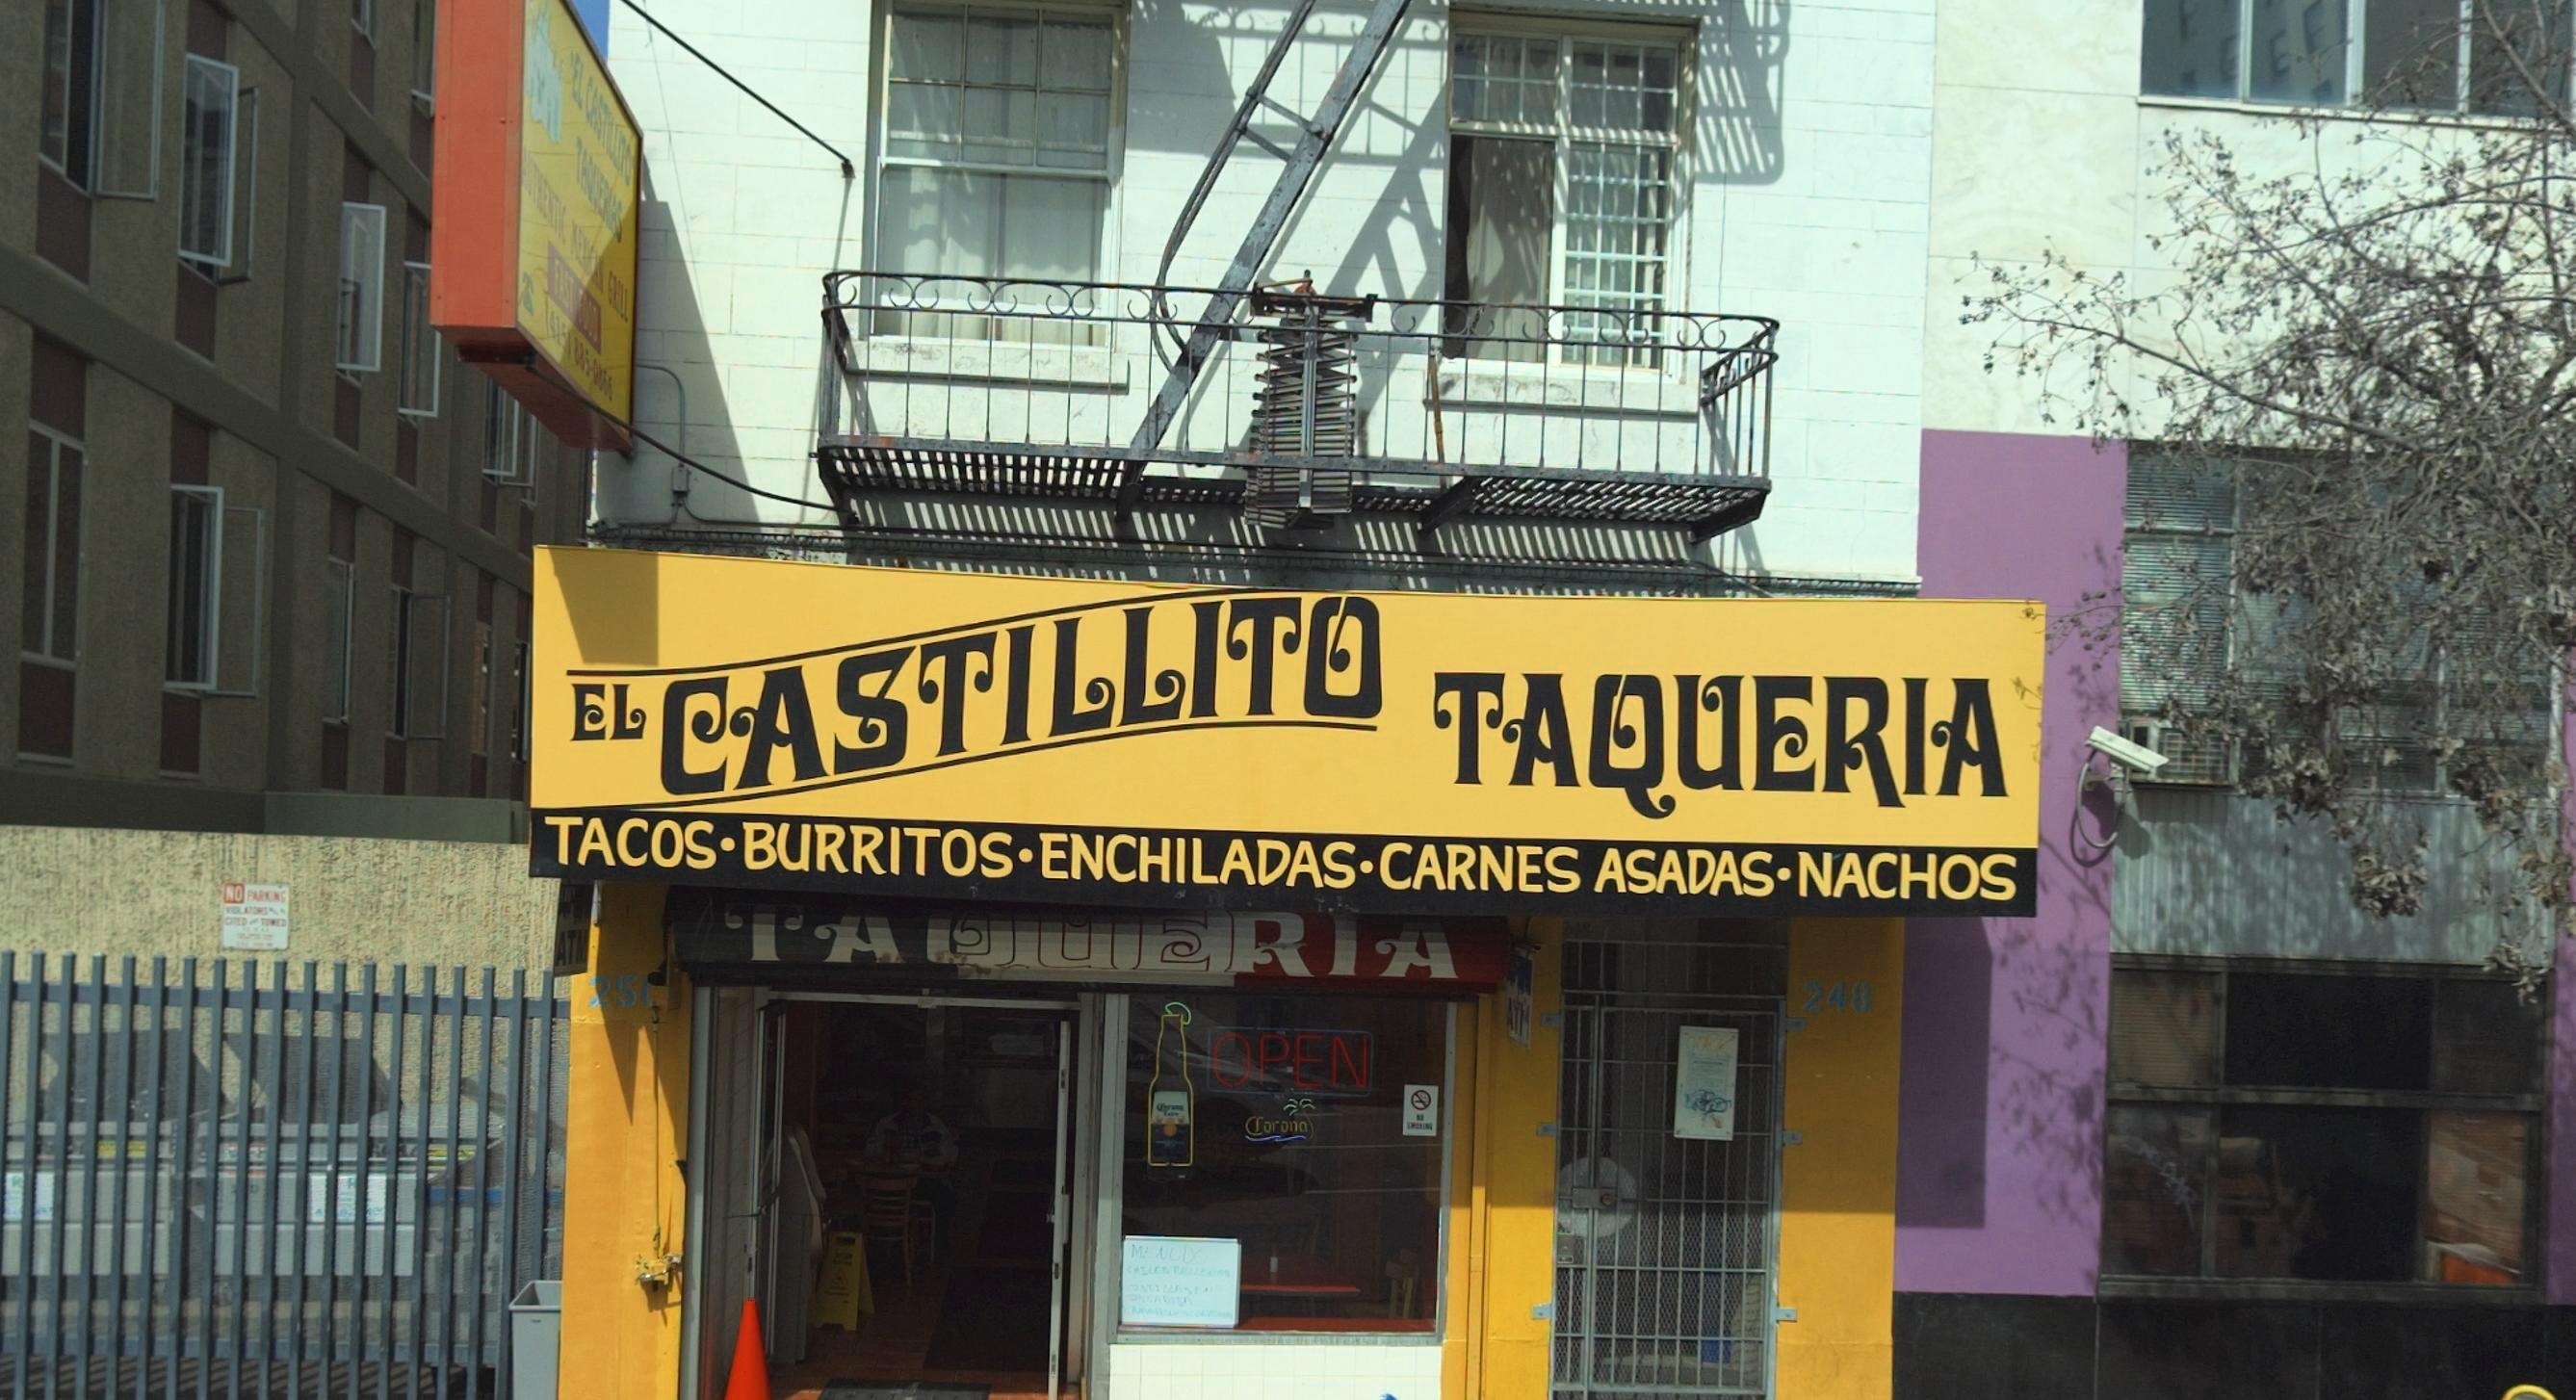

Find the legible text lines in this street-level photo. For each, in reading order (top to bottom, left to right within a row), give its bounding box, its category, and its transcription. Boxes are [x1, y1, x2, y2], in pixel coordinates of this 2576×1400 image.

[565, 45, 637, 199] BusinessName: EL CASTILLITO
[572, 124, 628, 251] BusinessName: TAQUERIA
[518, 142, 633, 328] None: AUTHENTIC MEXICAN GRILL
[551, 250, 601, 351] None: FAST FOOD
[546, 300, 614, 408] None: (415) 885-0866
[568, 591, 2015, 822] BusinessName: EL CASTILLITO TAQUERIA
[222, 883, 291, 905] None: NO PARKING
[539, 813, 2021, 910] None: TACOS-BURRITOS-ENCHILADAS-CARNES ASADAS-NACHOS
[552, 924, 591, 972] None: ATM
[585, 970, 638, 1012] StreetNumber: 25
[714, 896, 1465, 982] None: TAQUERIA
[1208, 1029, 1373, 1093] None: OPEN
[1502, 991, 1534, 1049] None: ATM
[1797, 974, 1876, 1022] StreetNumber: 248
[1239, 1110, 1313, 1140] None: Corona